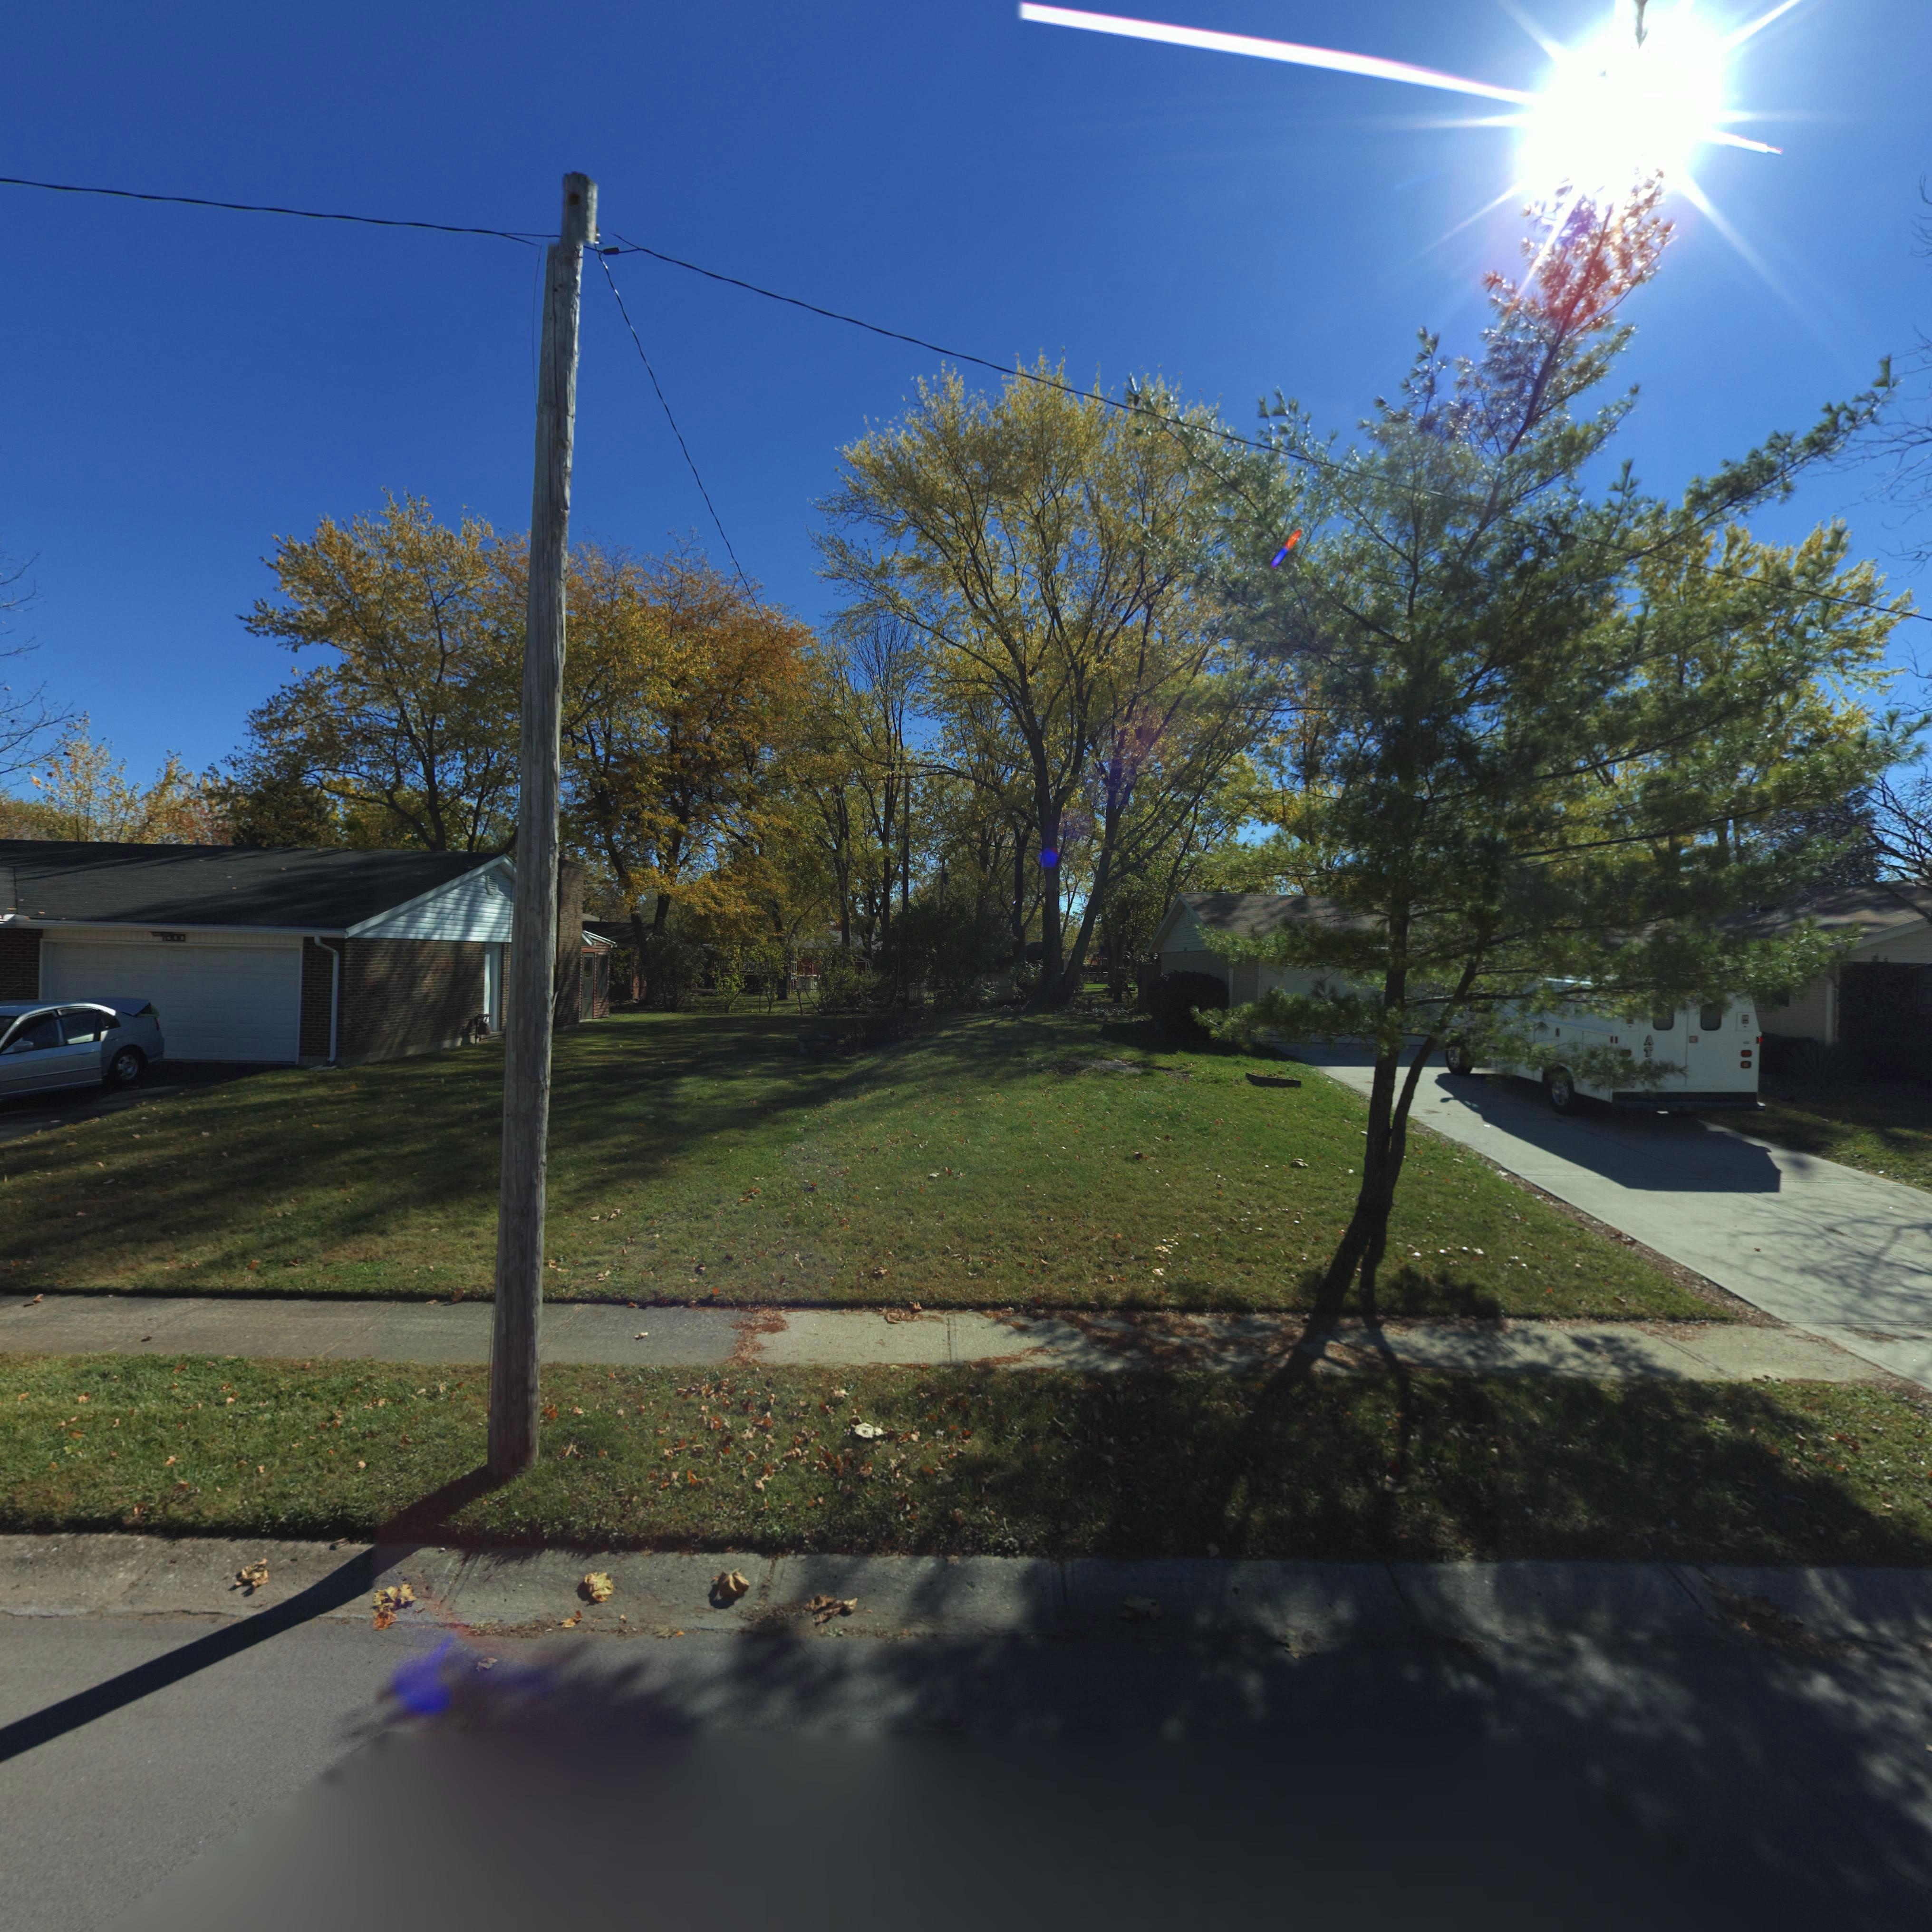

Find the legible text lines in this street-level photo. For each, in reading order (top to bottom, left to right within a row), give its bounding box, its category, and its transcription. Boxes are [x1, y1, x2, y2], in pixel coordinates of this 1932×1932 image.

[161, 933, 186, 942] StreetNumber: **00